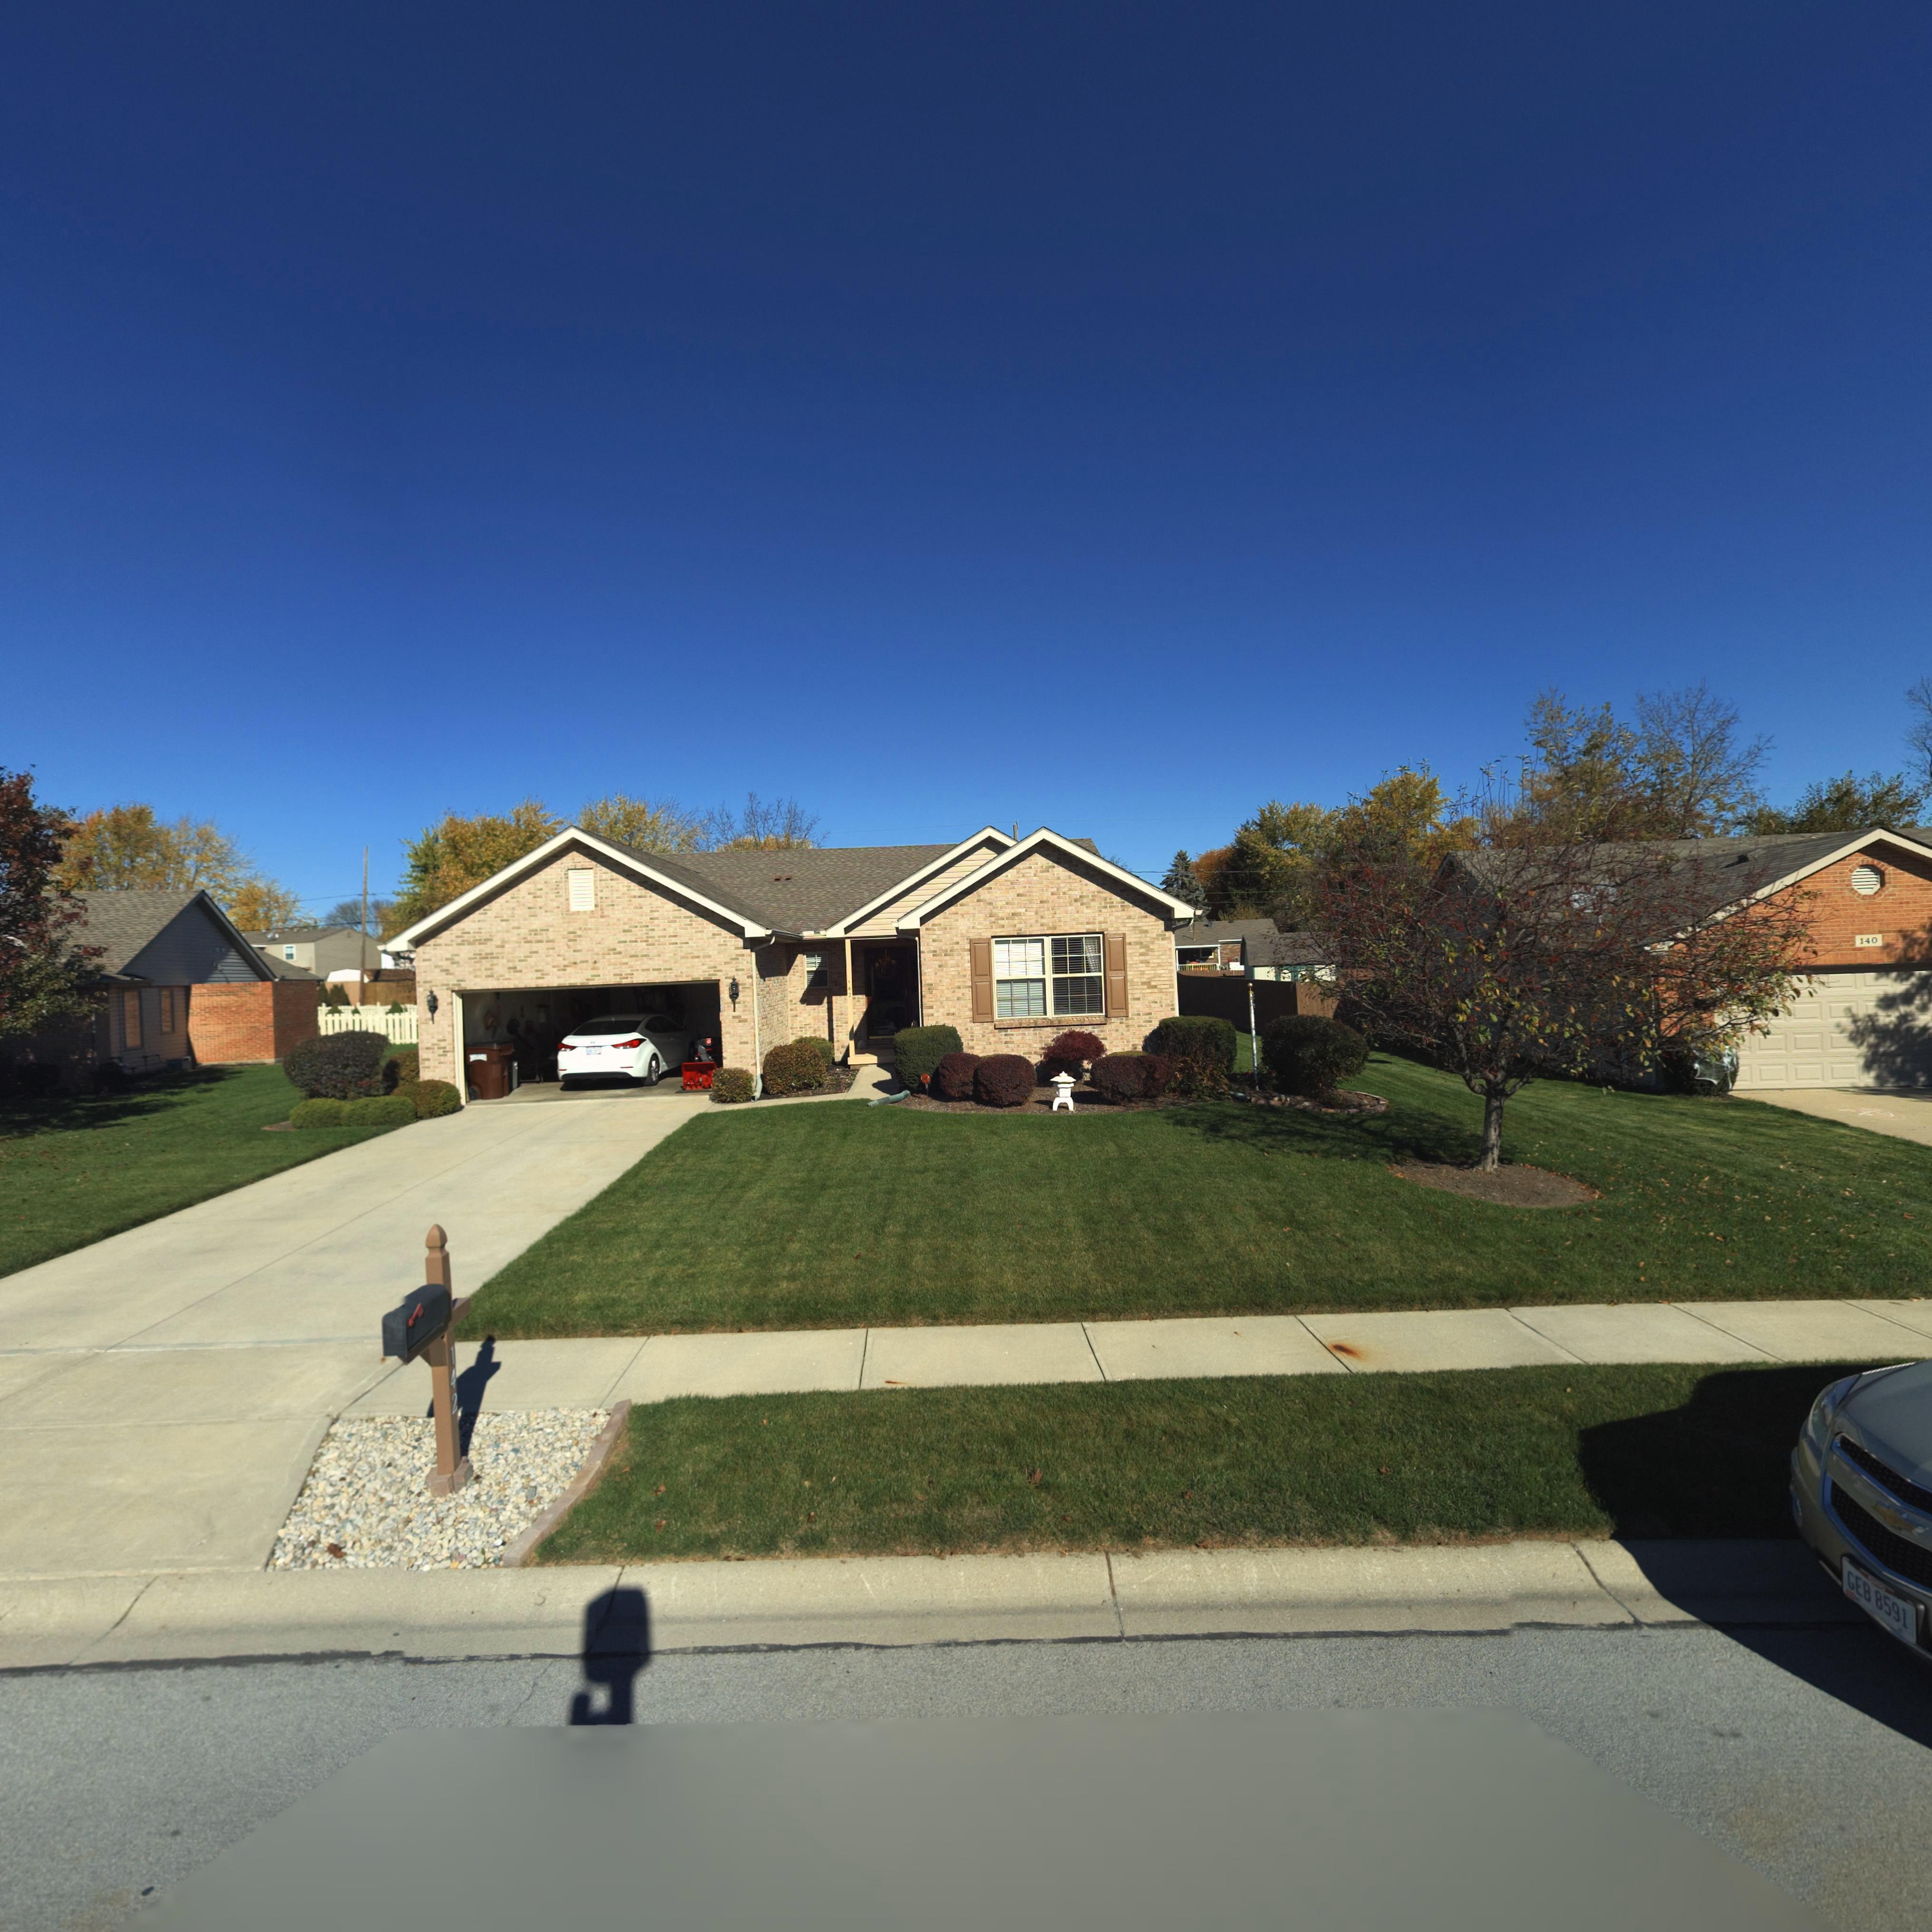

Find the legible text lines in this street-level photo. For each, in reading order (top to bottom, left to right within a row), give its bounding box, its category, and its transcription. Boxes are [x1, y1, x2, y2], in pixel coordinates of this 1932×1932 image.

[1859, 937, 1878, 945] StreetNumber: 140
[847, 979, 851, 998] StreetNumber: 142
[447, 1343, 459, 1417] StreetNumber: 142